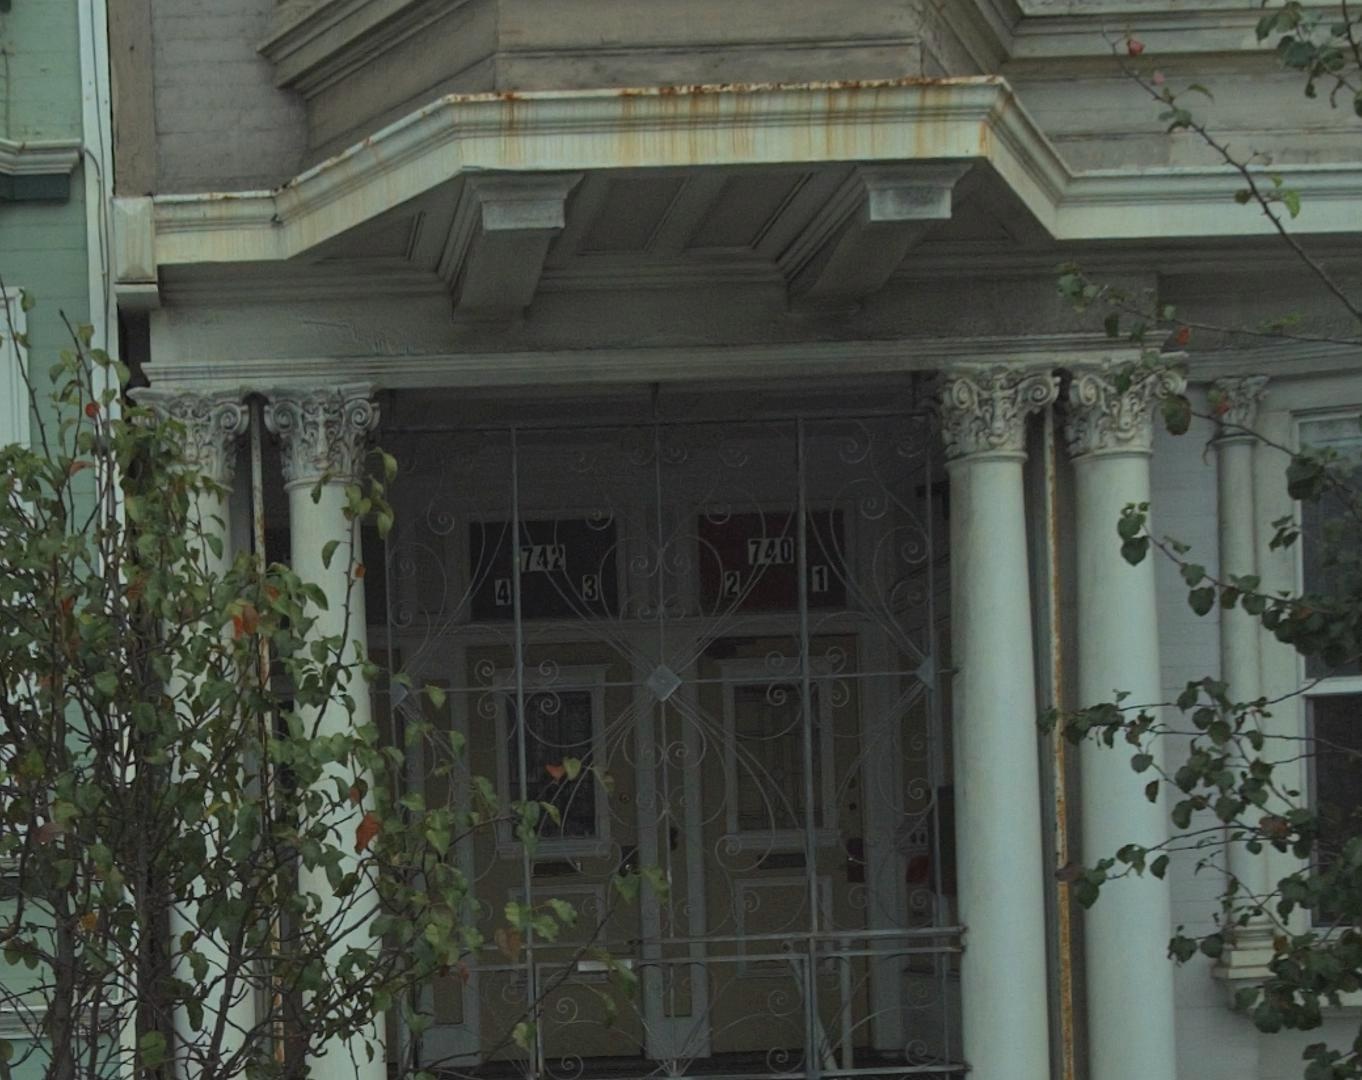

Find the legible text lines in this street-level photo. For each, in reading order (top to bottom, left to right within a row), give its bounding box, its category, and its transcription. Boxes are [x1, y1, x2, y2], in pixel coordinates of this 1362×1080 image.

[519, 544, 567, 572] StreetNumber: 742
[748, 537, 795, 566] StreetNumber: 740
[495, 579, 512, 606] StreetNumber: 4
[582, 573, 598, 602] StreetNumber: 3
[723, 569, 740, 598] StreetNumber: 2
[813, 565, 827, 592] StreetNumber: 1